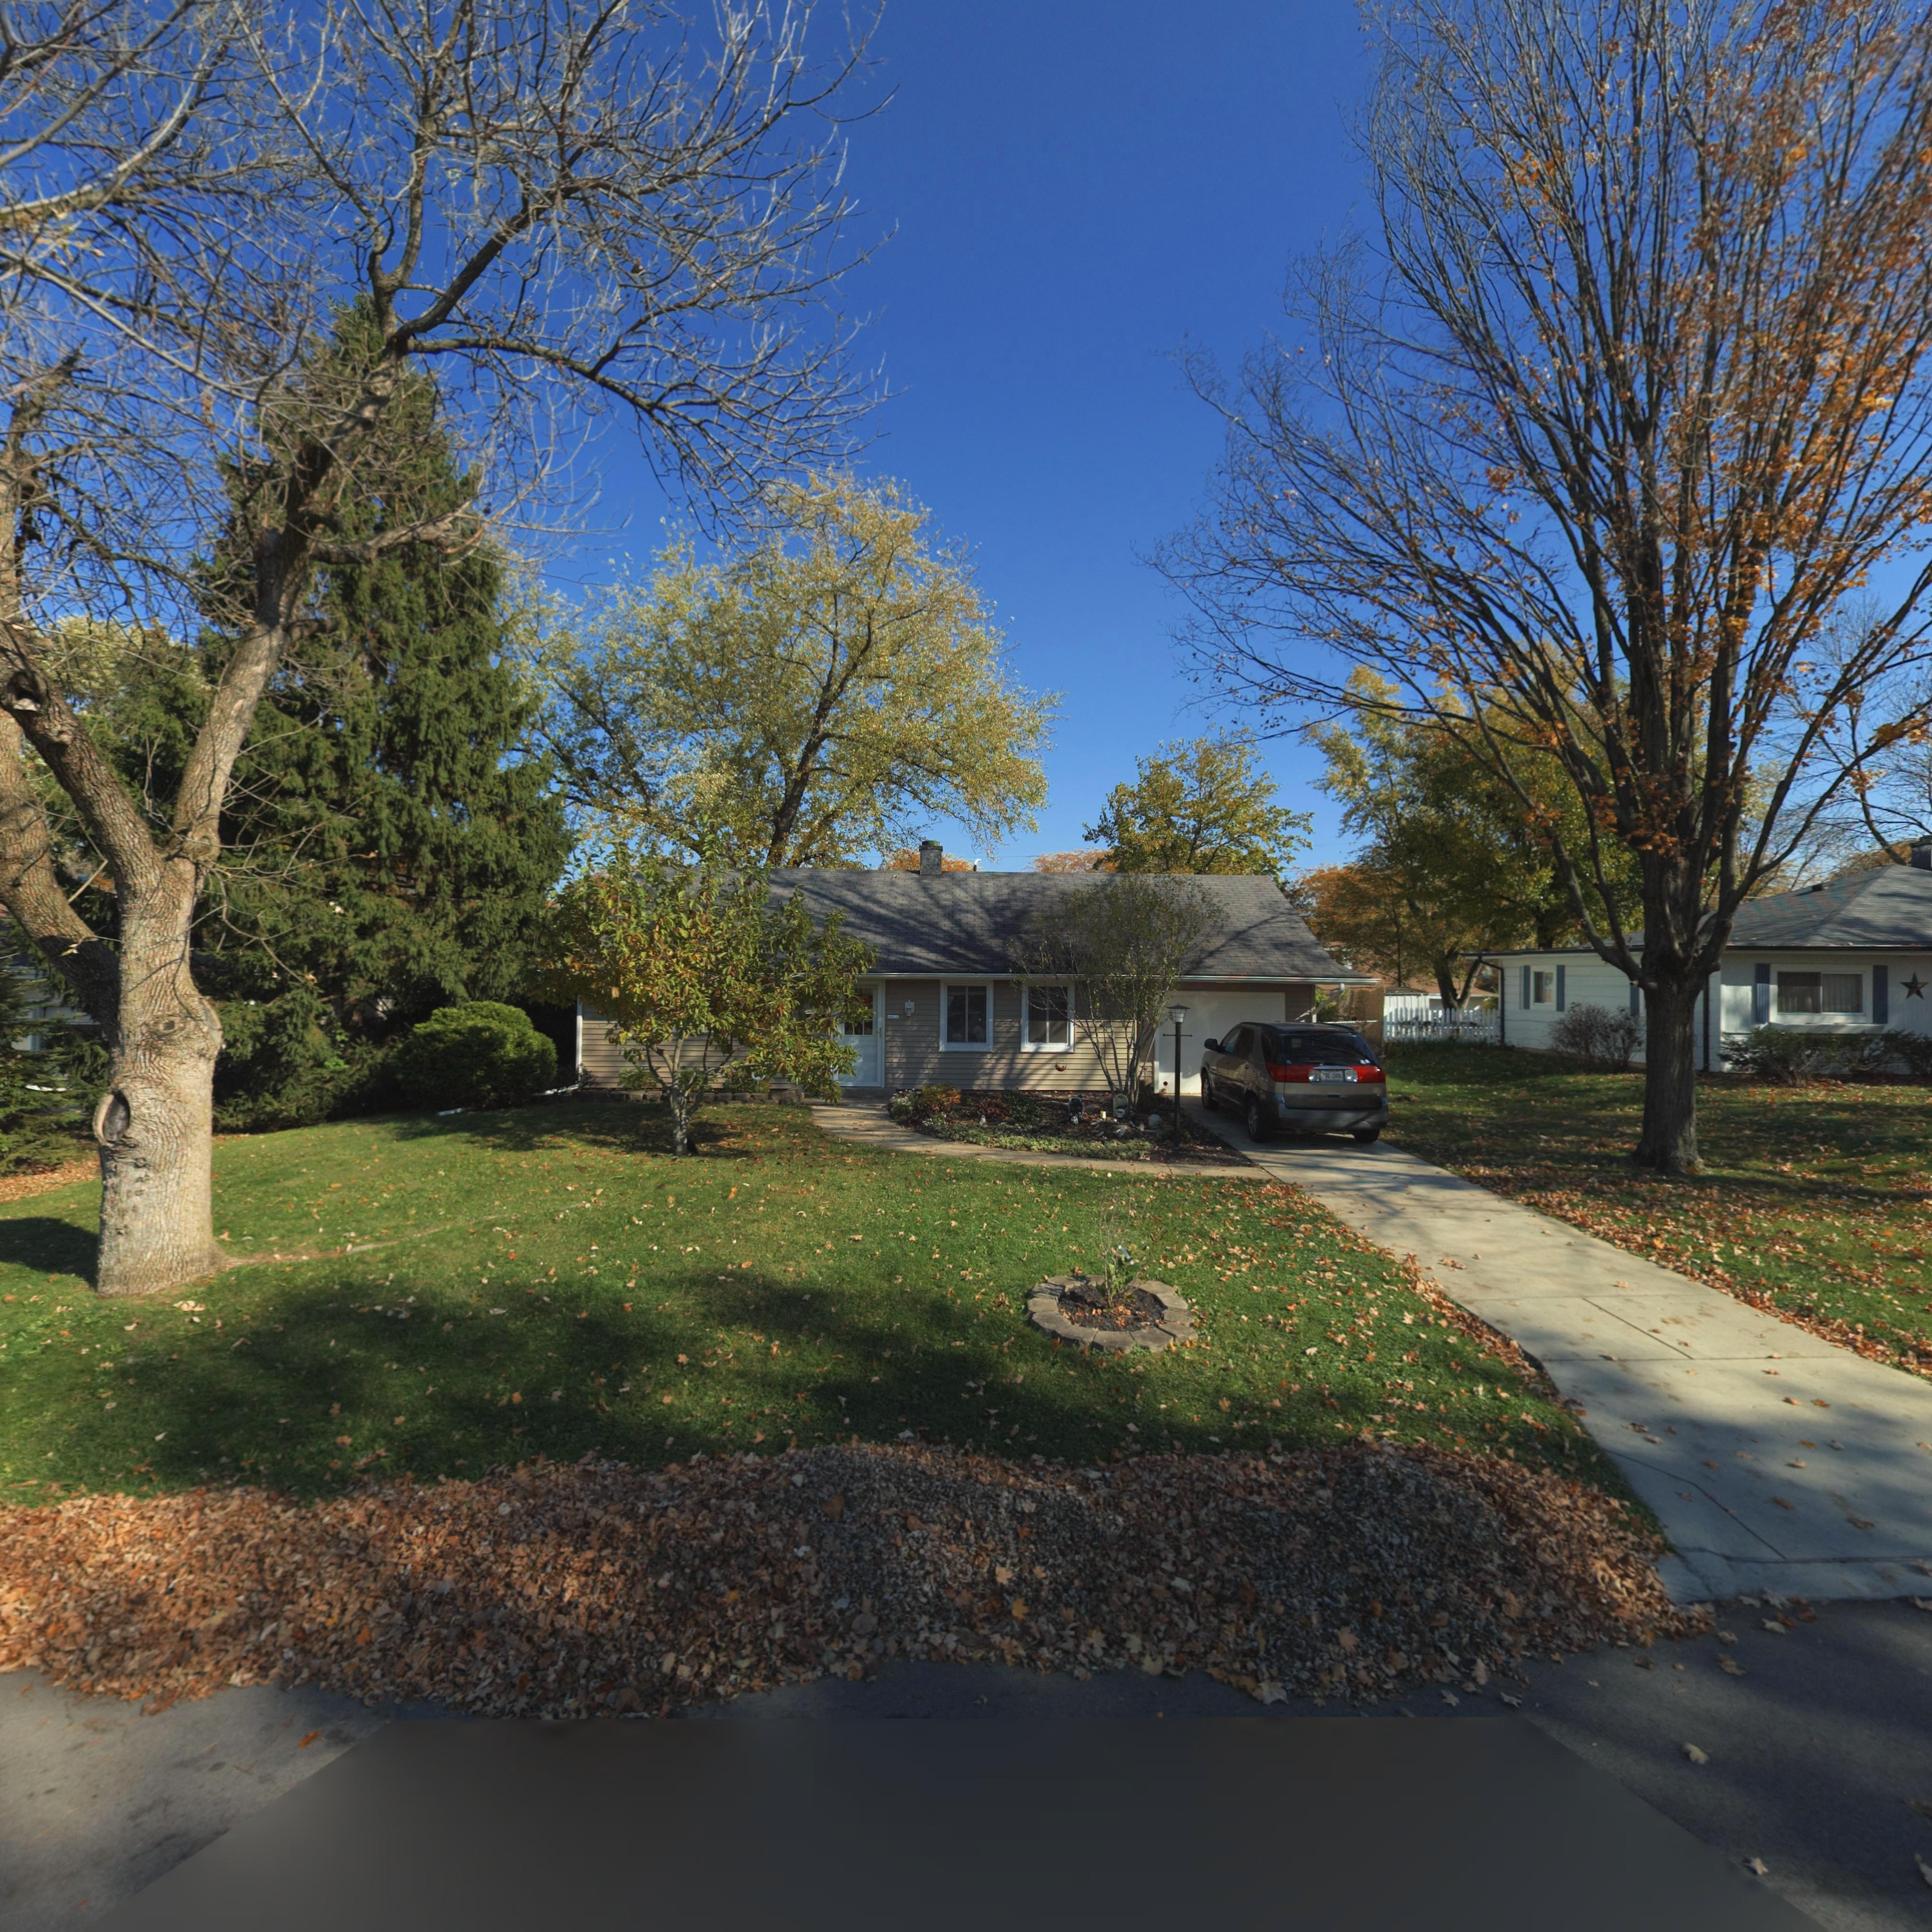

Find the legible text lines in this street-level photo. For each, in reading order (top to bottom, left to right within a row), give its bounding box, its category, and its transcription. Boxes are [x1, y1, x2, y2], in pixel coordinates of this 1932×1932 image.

[1322, 1072, 1341, 1078] None: PDE*500